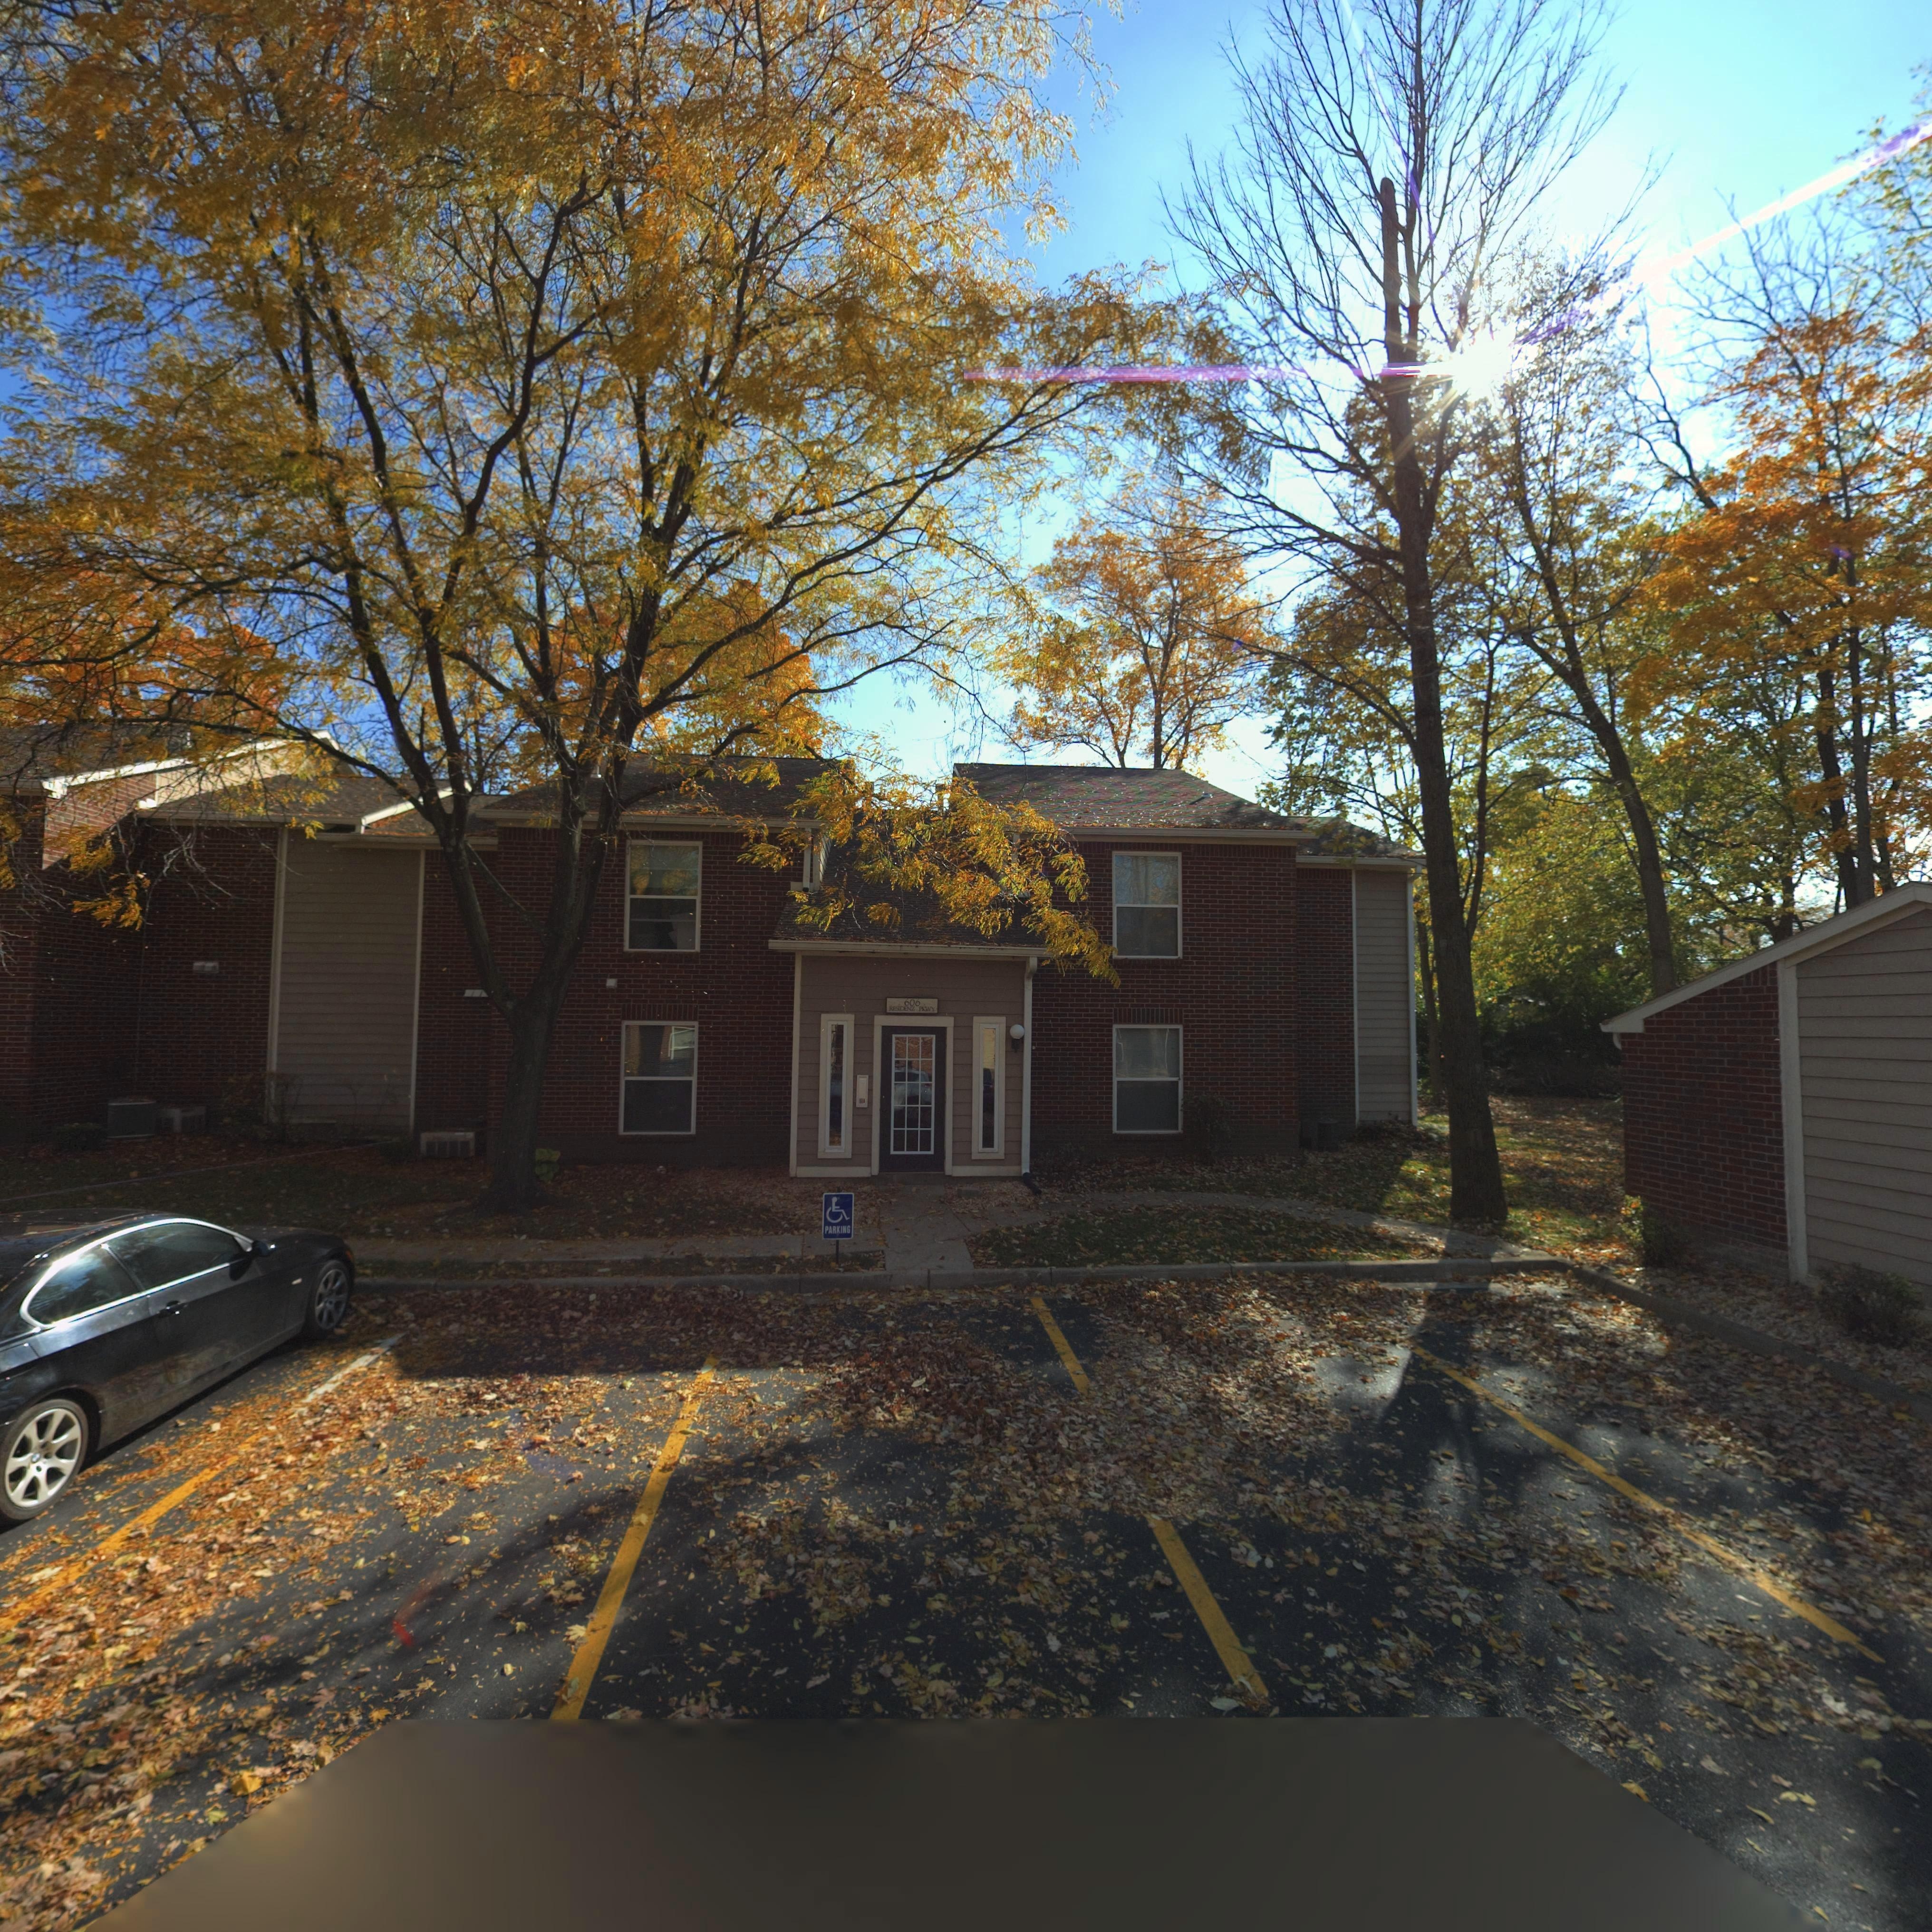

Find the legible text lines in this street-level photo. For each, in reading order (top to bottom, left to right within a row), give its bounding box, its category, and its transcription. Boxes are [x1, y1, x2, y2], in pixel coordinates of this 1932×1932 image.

[903, 997, 922, 1007] StreetNumber: 606
[888, 1005, 936, 1013] StreetName: RESIDENZ PKWY
[824, 1225, 851, 1235] None: PARKING